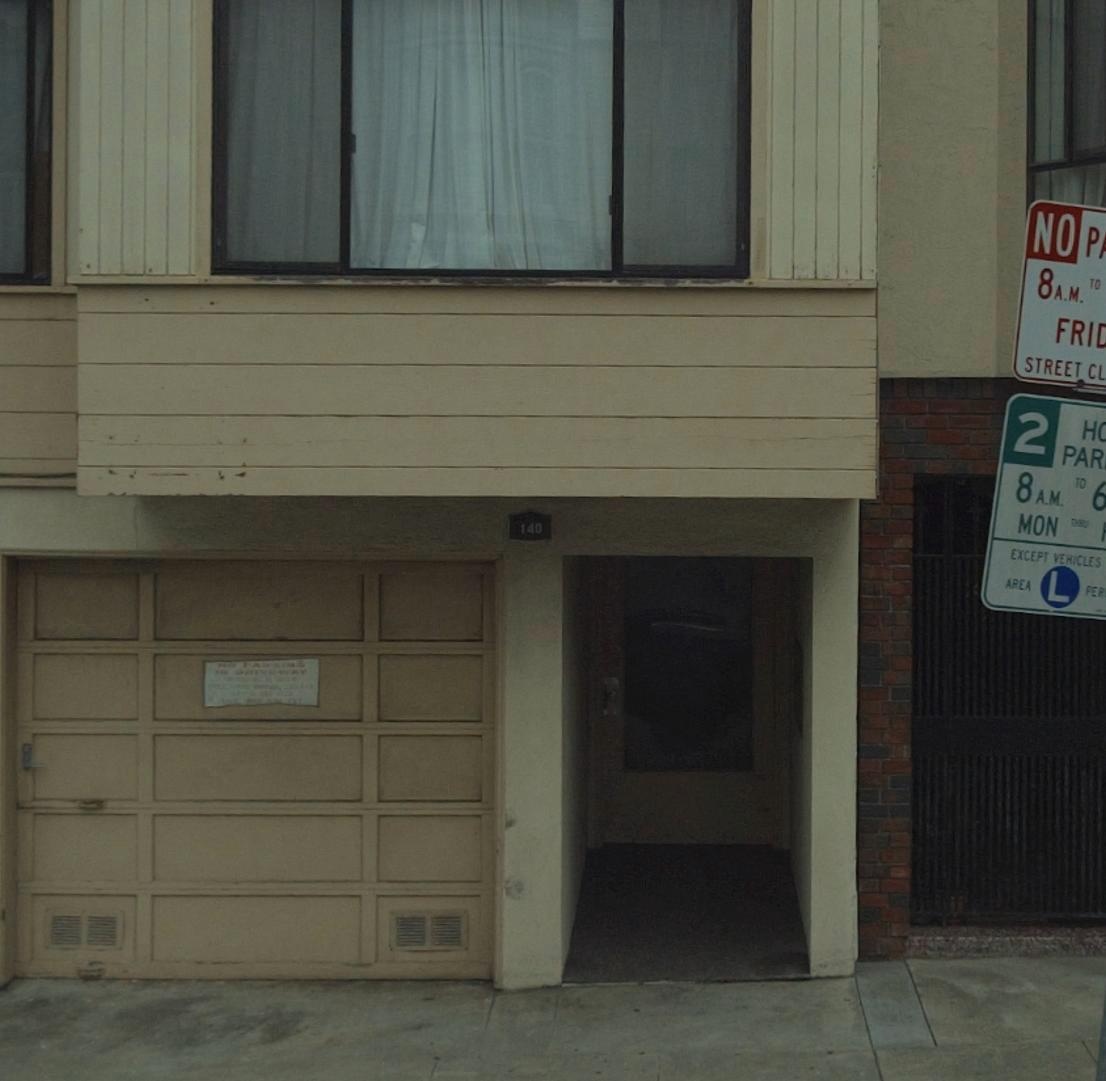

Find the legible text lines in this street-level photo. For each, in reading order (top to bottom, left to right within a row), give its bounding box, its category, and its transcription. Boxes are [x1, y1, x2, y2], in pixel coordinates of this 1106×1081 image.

[1028, 208, 1106, 267] None: NO P*
[1036, 266, 1056, 302] None: 8
[1052, 282, 1086, 306] None: A.M.
[1088, 277, 1103, 293] None: TO
[1051, 314, 1106, 353] None: FRI*
[1021, 353, 1106, 385] None: STREET CL
[1011, 409, 1053, 459] None: 2
[1079, 417, 1106, 447] None: H*
[1059, 442, 1106, 471] None: PAR
[1013, 466, 1037, 507] None: 8
[1034, 486, 1066, 510] None: A.M.
[1072, 474, 1089, 494] None: TO
[519, 521, 545, 536] StreetNumber: 140
[1014, 510, 1061, 542] None: MON
[1067, 516, 1093, 531] None: THRU
[1009, 546, 1105, 571] None: EXCEPT VEHICLES
[1001, 575, 1034, 595] None: AREA
[1045, 568, 1072, 606] None: L
[1083, 583, 1106, 600] None: PER
[213, 668, 308, 676] None: IN DRIVEWAY
[216, 660, 307, 669] None: NO PARKING